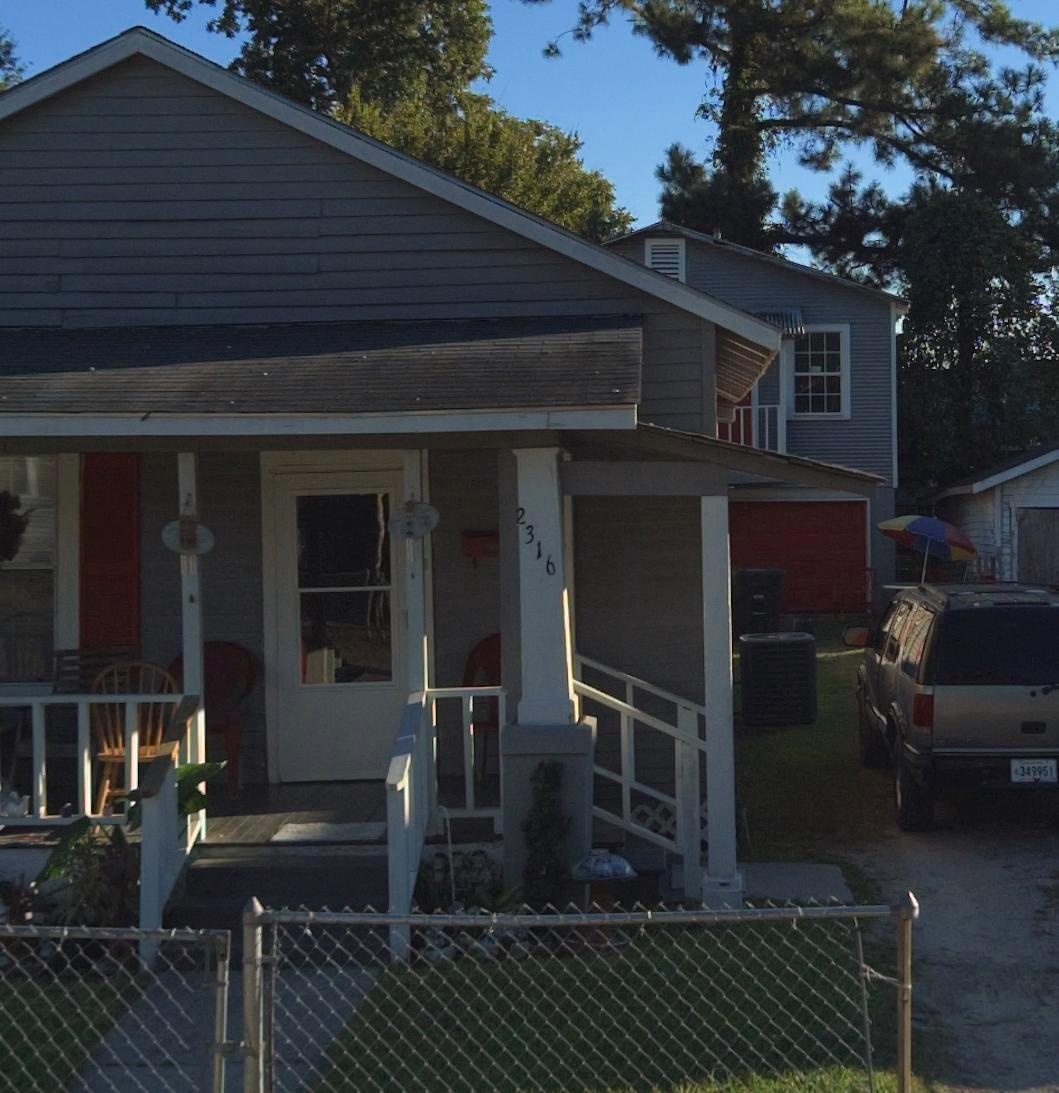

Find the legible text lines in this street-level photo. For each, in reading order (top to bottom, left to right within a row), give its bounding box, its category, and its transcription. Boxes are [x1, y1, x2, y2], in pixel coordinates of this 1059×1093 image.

[513, 505, 558, 578] StreetNumber: 2316
[1017, 763, 1056, 779] None: 349951